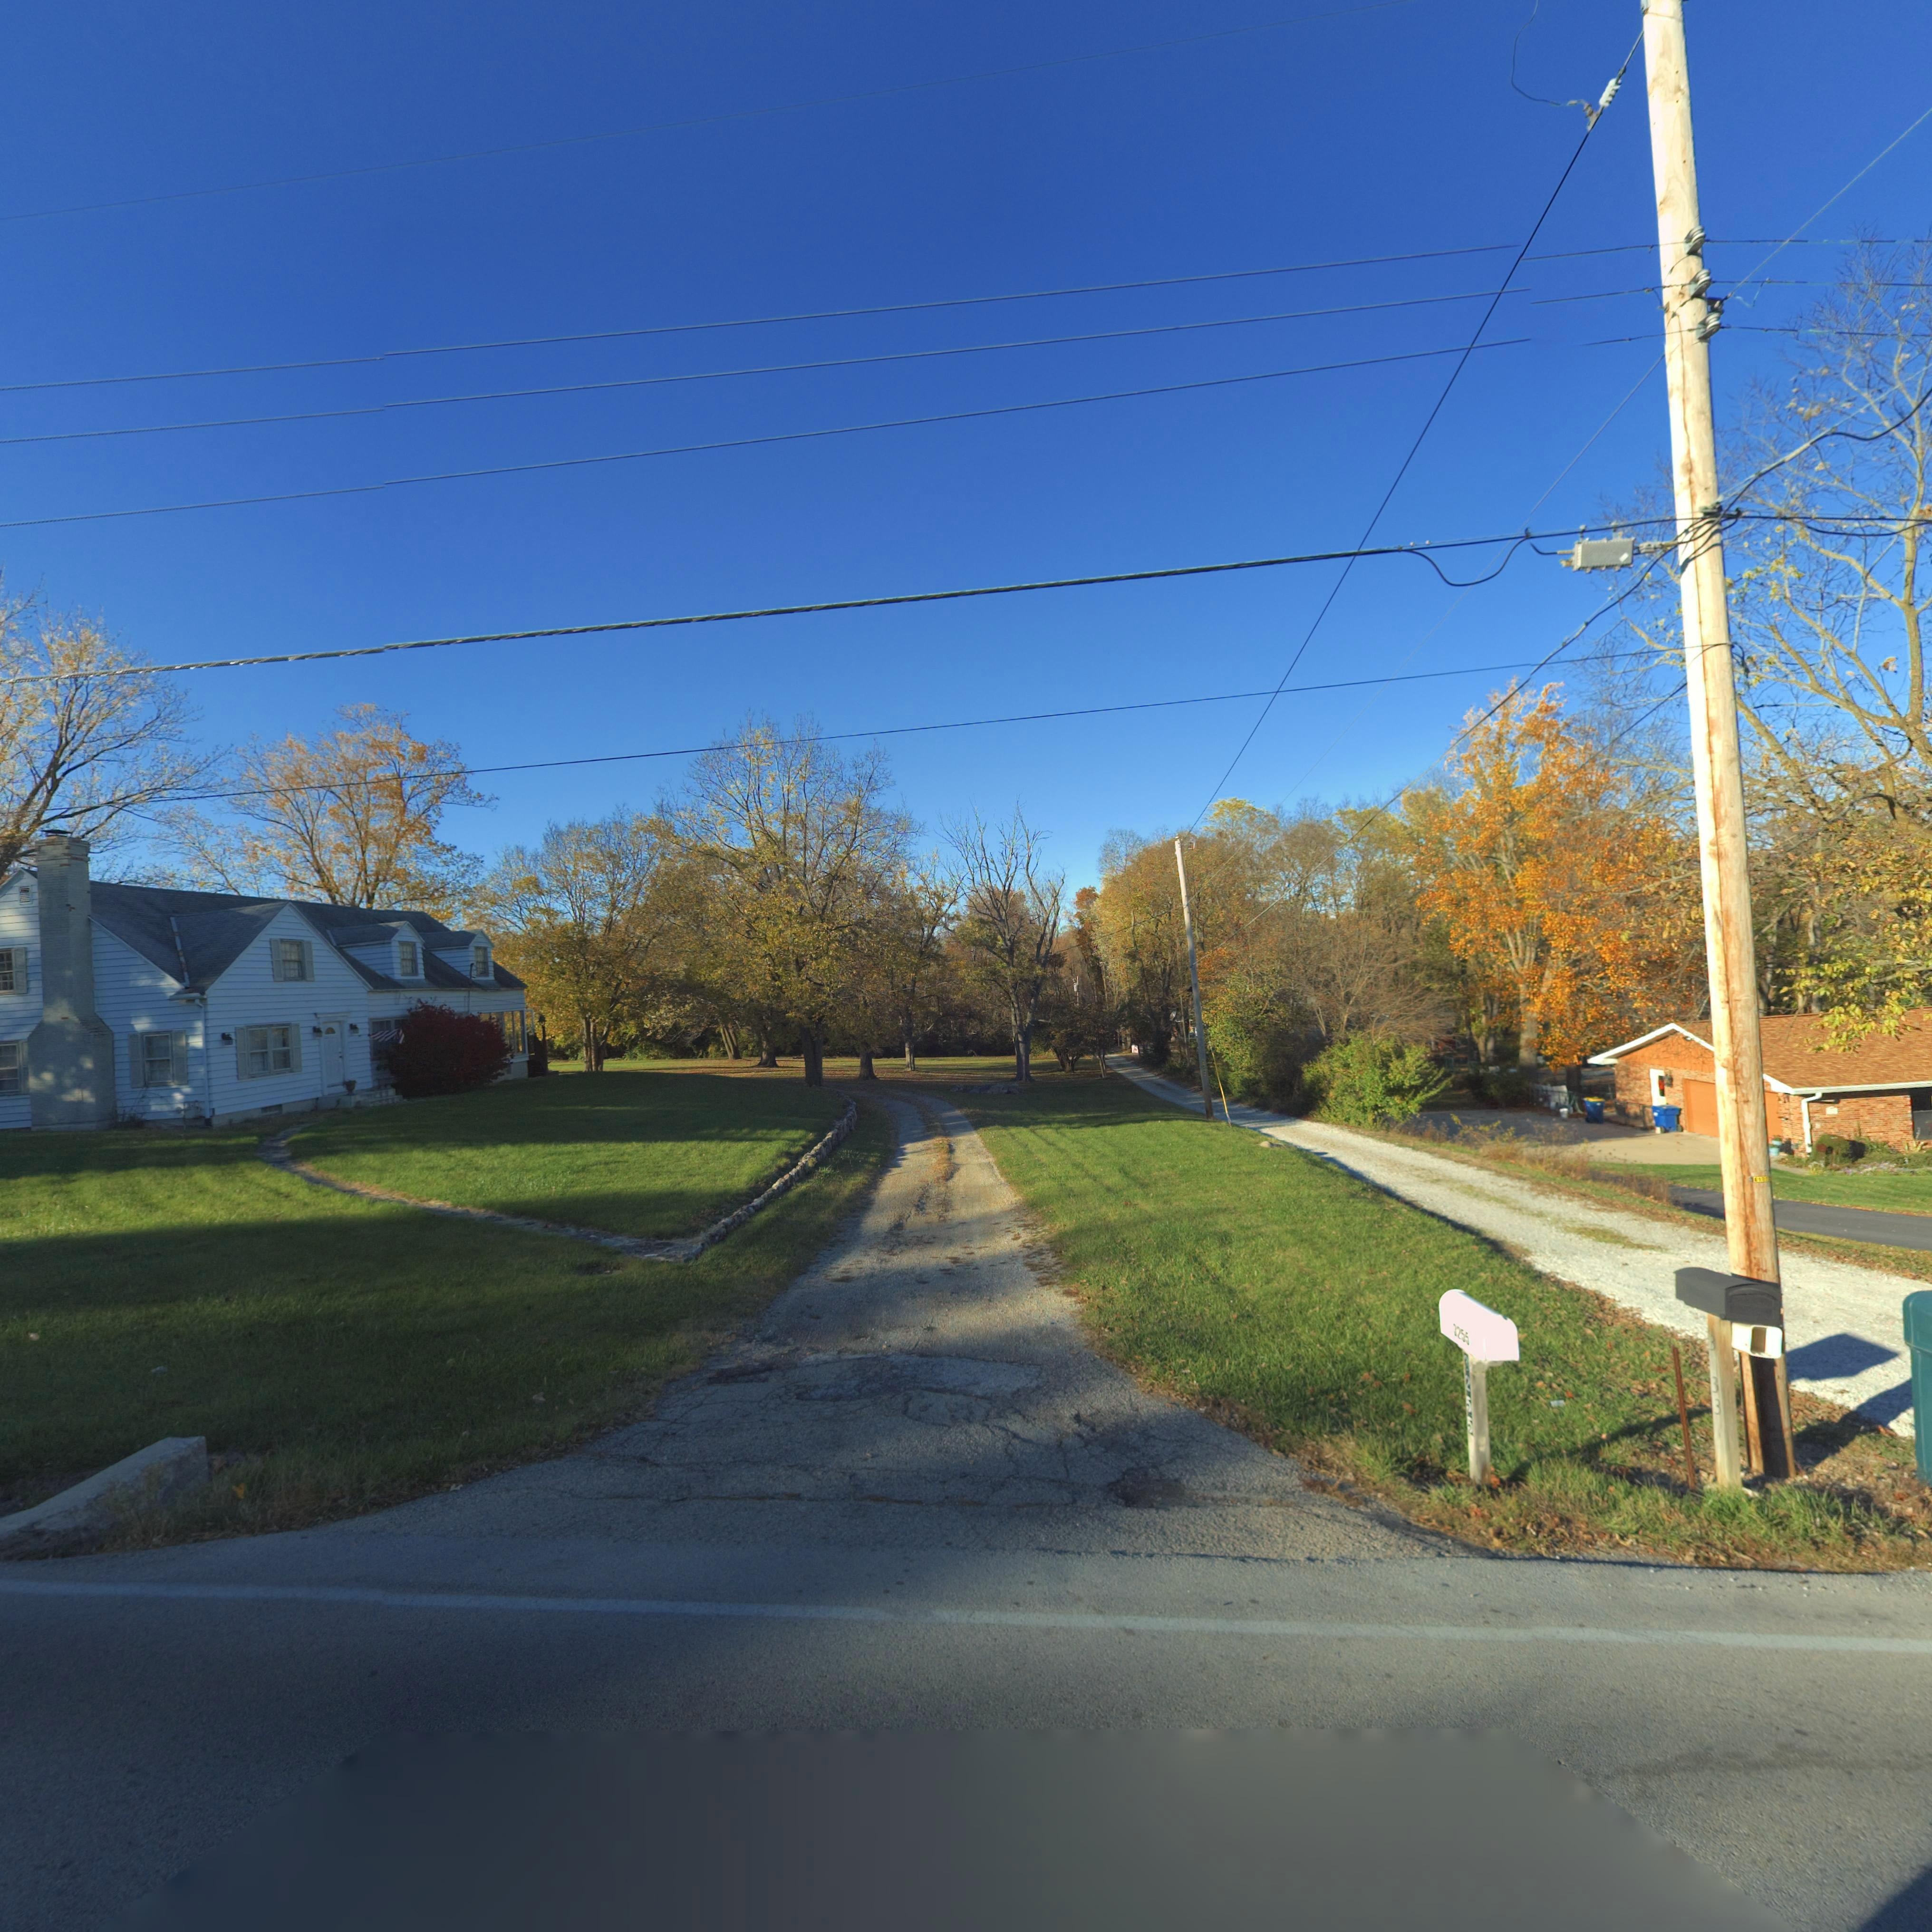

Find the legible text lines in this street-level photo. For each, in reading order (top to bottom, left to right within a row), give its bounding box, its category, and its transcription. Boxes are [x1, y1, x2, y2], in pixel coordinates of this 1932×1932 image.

[1451, 1322, 1471, 1347] StreetNumber: 3255
[1462, 1353, 1475, 1435] StreetNumber: *255
[1707, 1332, 1724, 1419] StreetNumber: 3*33